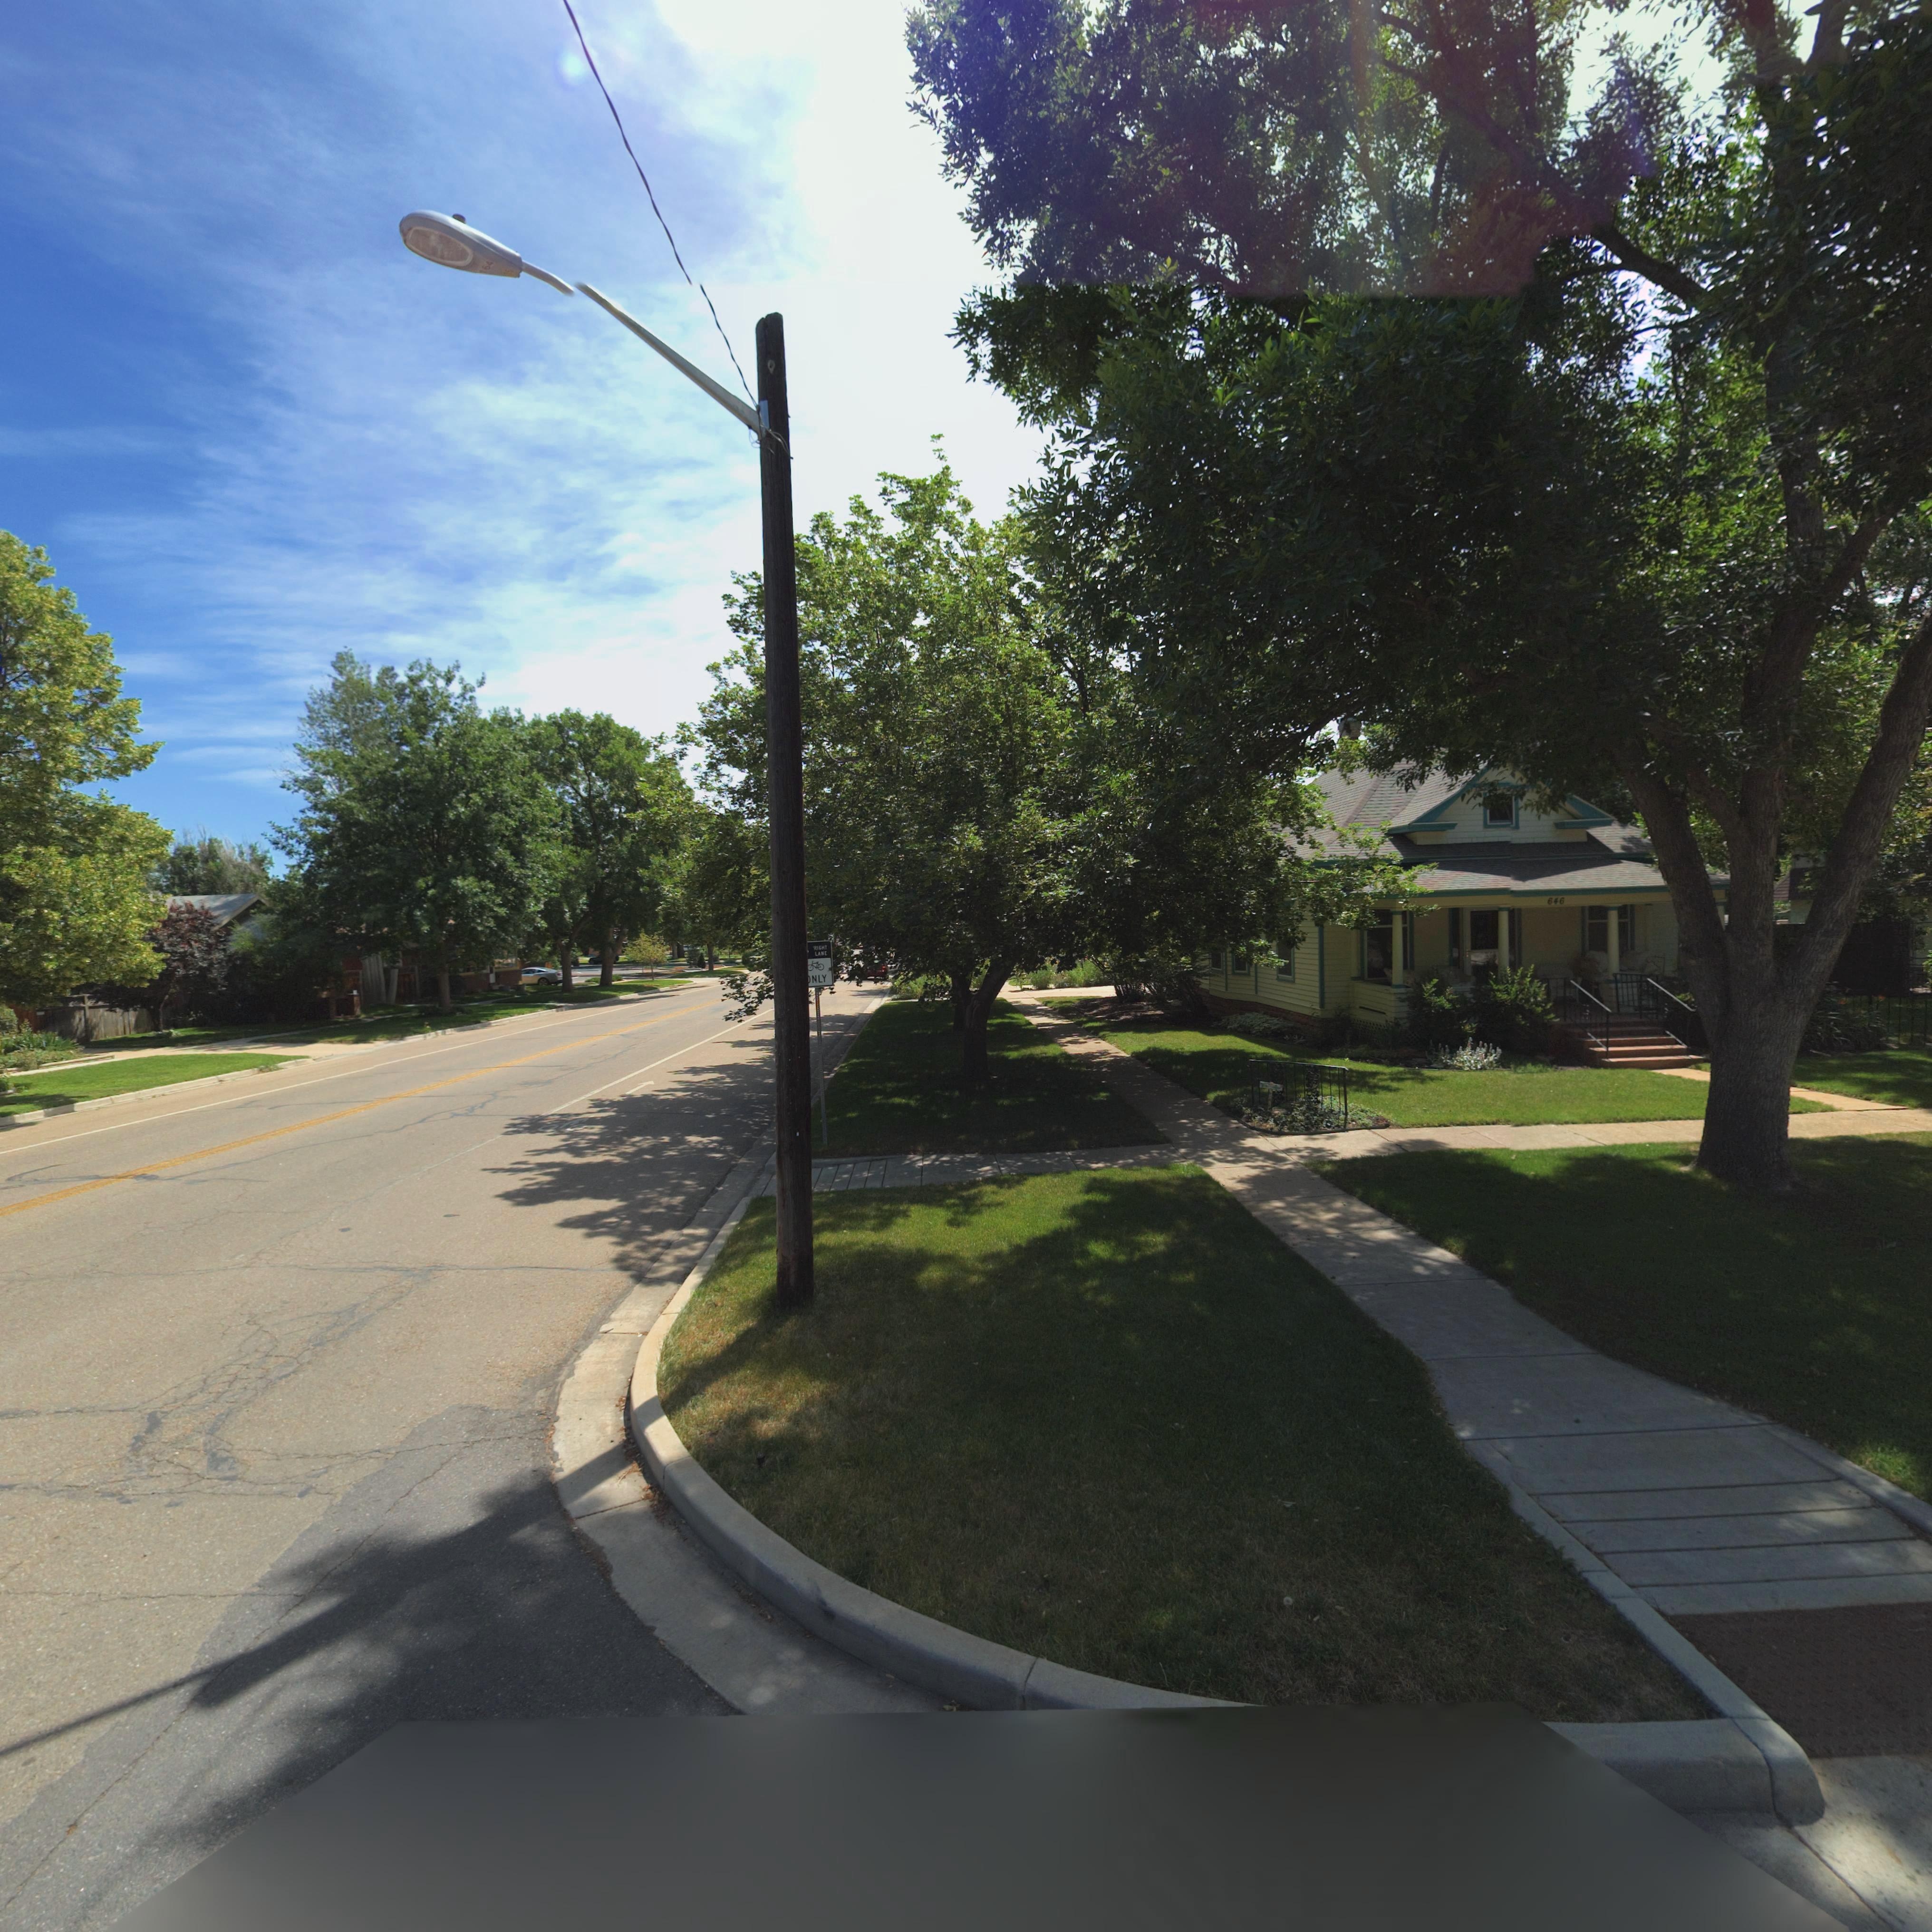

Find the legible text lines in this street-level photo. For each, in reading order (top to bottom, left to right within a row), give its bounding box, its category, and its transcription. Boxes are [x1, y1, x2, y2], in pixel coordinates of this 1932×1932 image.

[1546, 896, 1565, 905] StreetNumber: 646